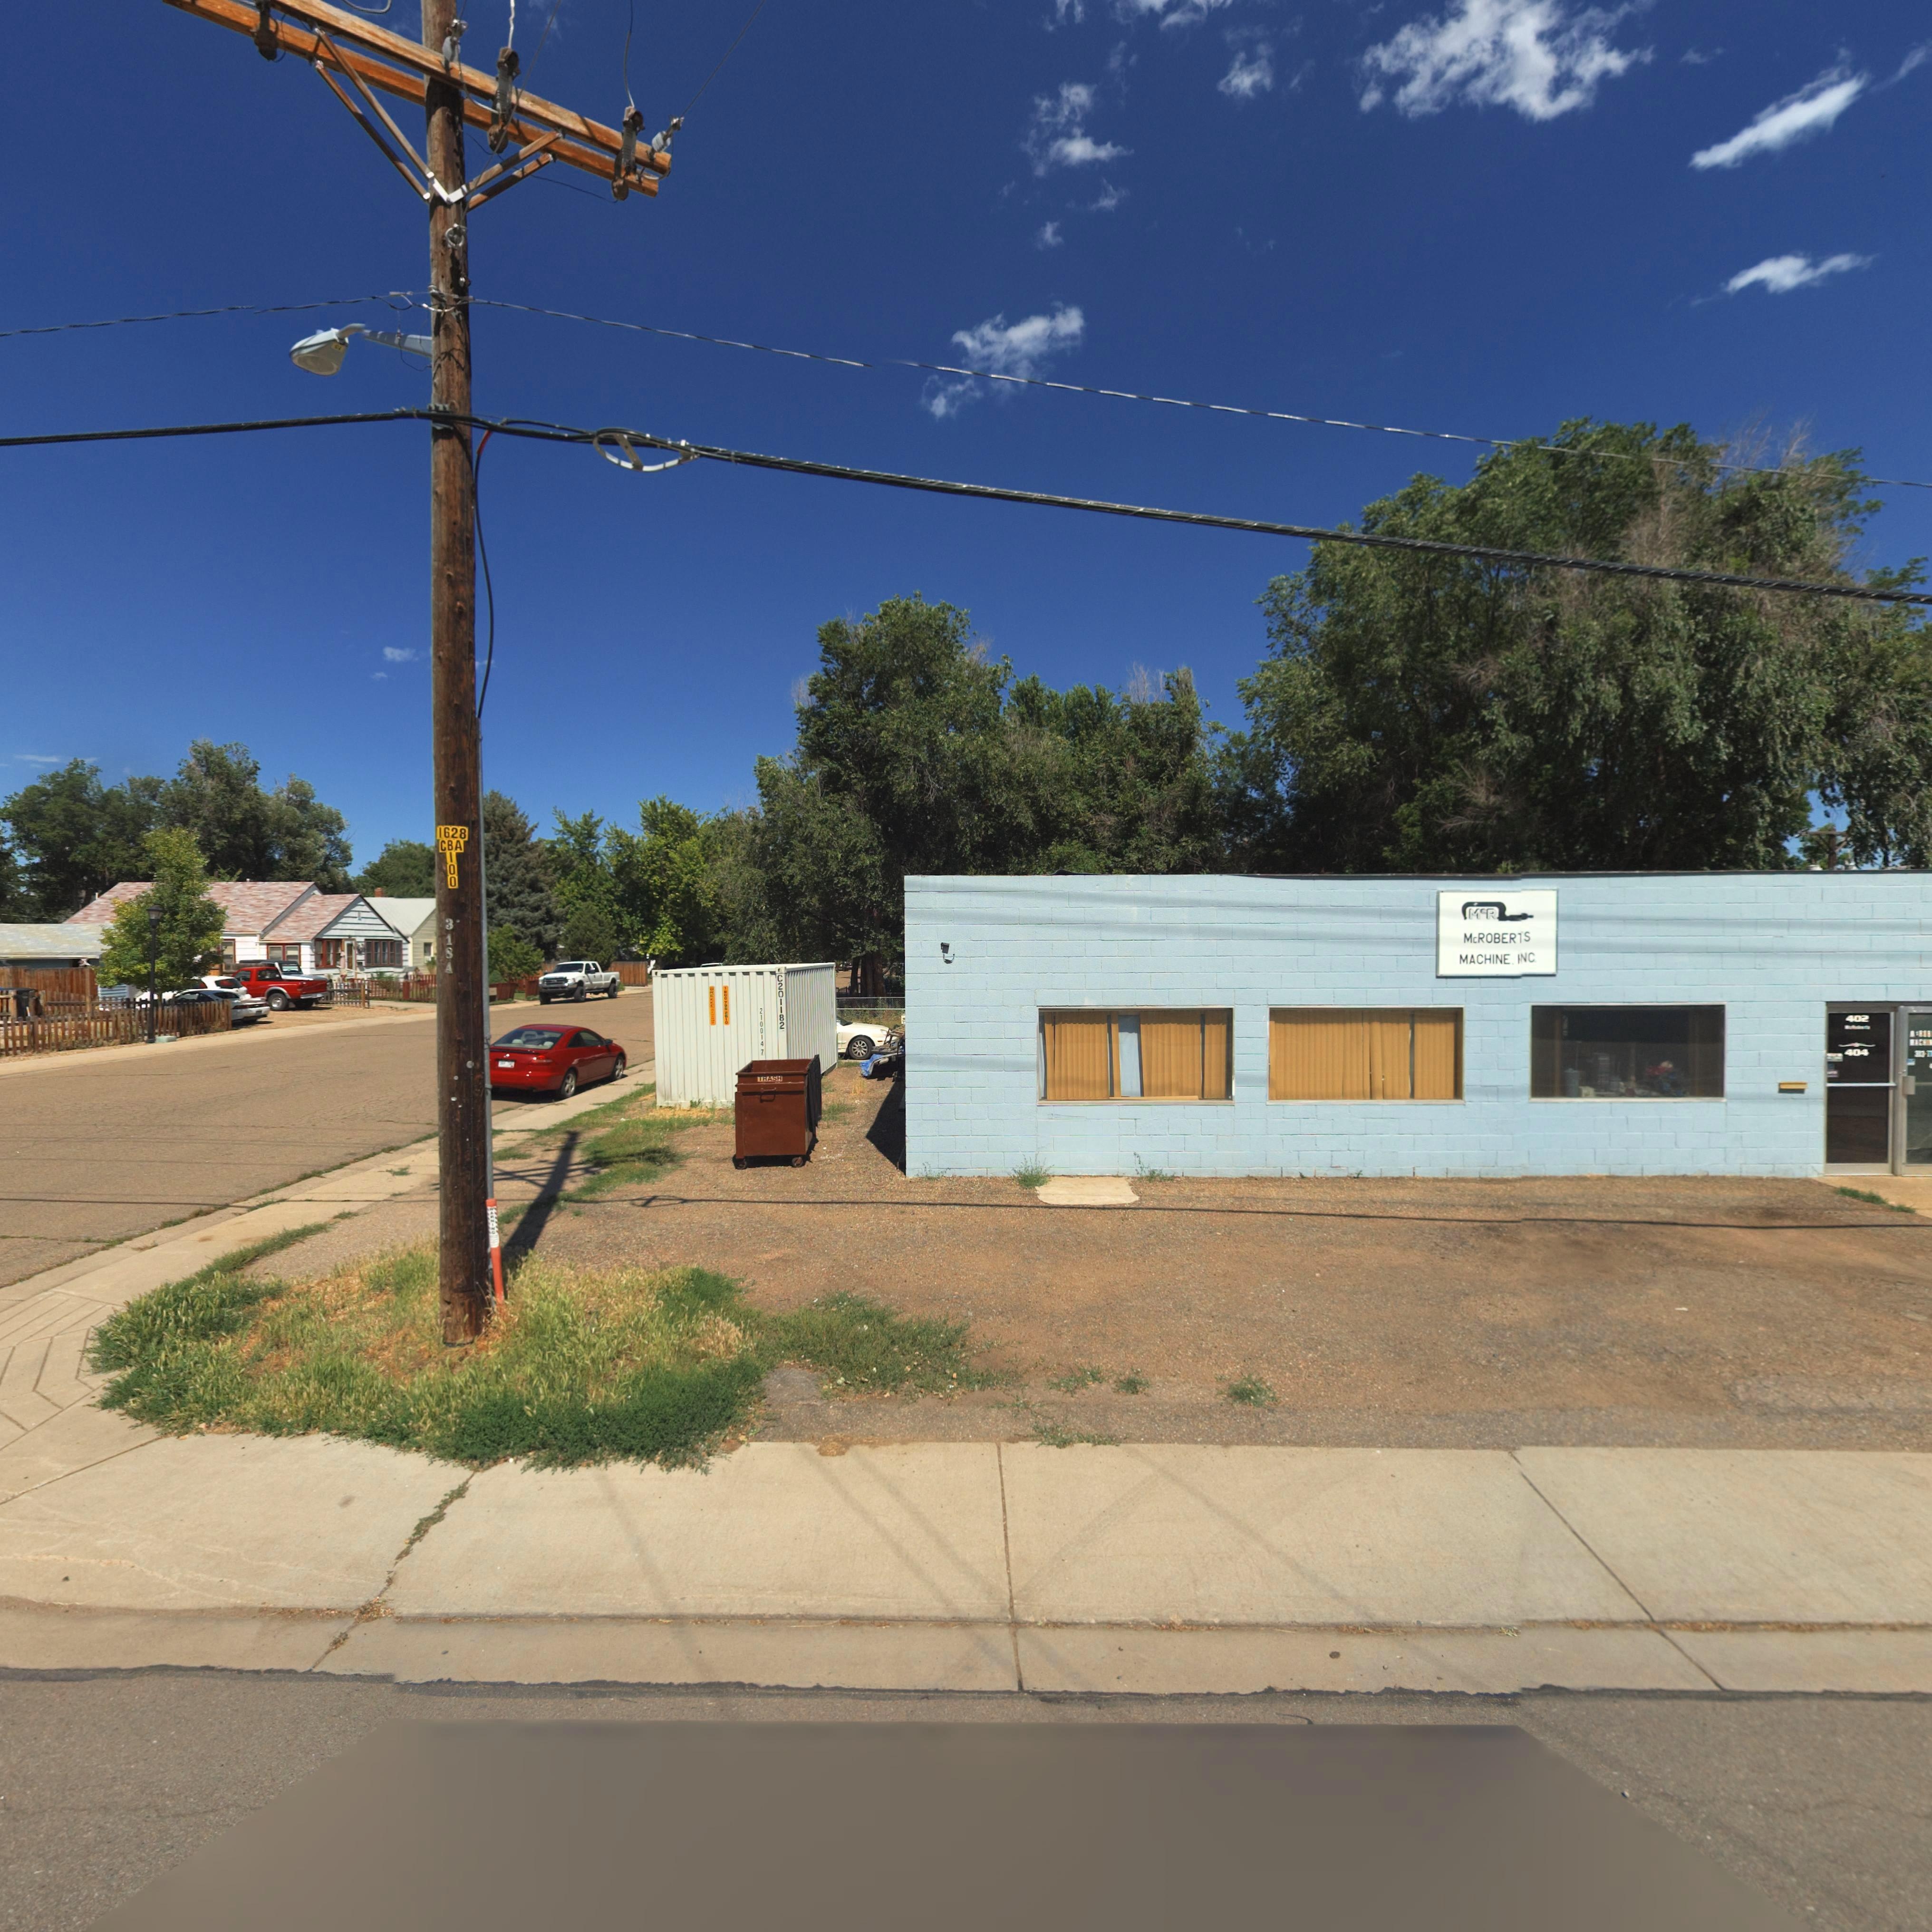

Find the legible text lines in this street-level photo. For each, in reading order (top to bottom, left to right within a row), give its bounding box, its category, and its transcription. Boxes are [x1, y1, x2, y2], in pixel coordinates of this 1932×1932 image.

[1468, 908, 1496, 920] BusinessName: McR
[1463, 931, 1530, 944] BusinessName: McROBER*S
[1459, 952, 1535, 965] BusinessName: MACHINE INC
[1845, 1014, 1870, 1023] StreetNumber: 402
[1909, 1029, 1931, 1038] BusinessName: McROB
[1909, 1039, 1929, 1045] BusinessName: MACHI
[1843, 1048, 1868, 1056] StreetNumber: 404